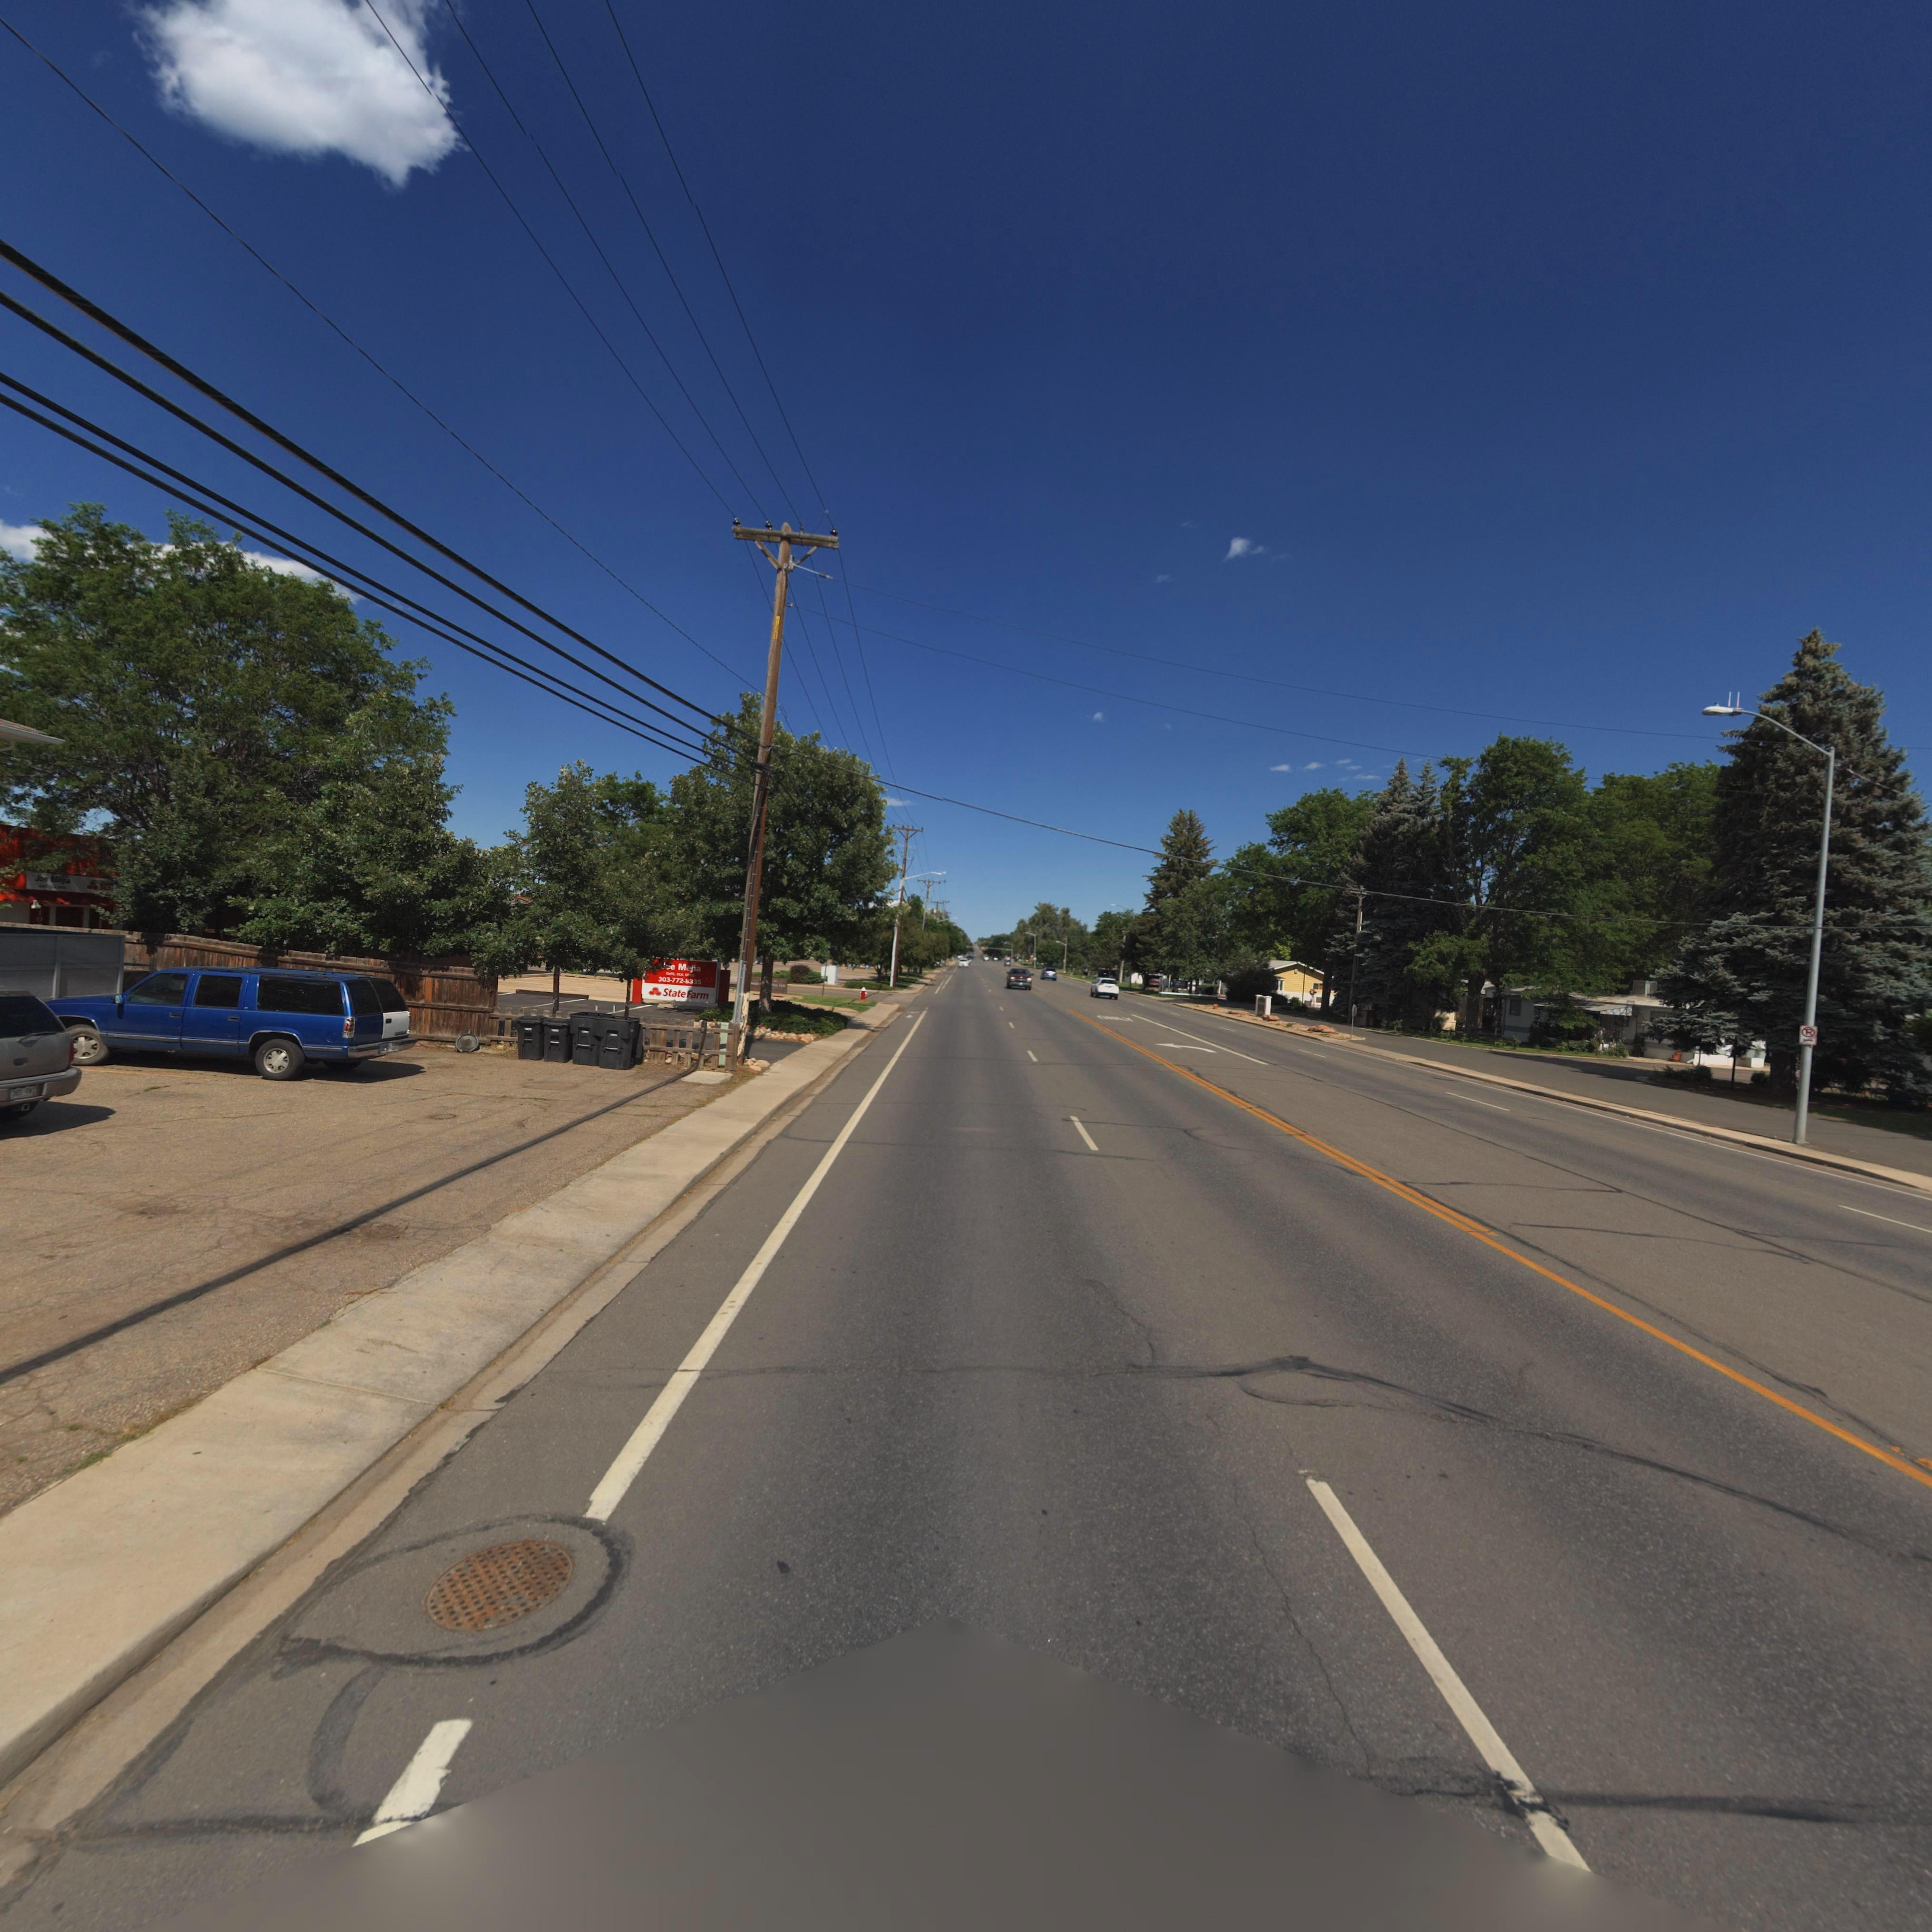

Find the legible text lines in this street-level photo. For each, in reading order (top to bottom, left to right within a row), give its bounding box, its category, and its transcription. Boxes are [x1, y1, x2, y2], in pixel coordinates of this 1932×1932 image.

[98, 879, 144, 893] BusinessName: S**** *******
[36, 908, 44, 923] StreetNumber: 10
[750, 982, 786, 987] BusinessName: *opp ********ng, LLC
[662, 987, 709, 1000] BusinessName: State Farm